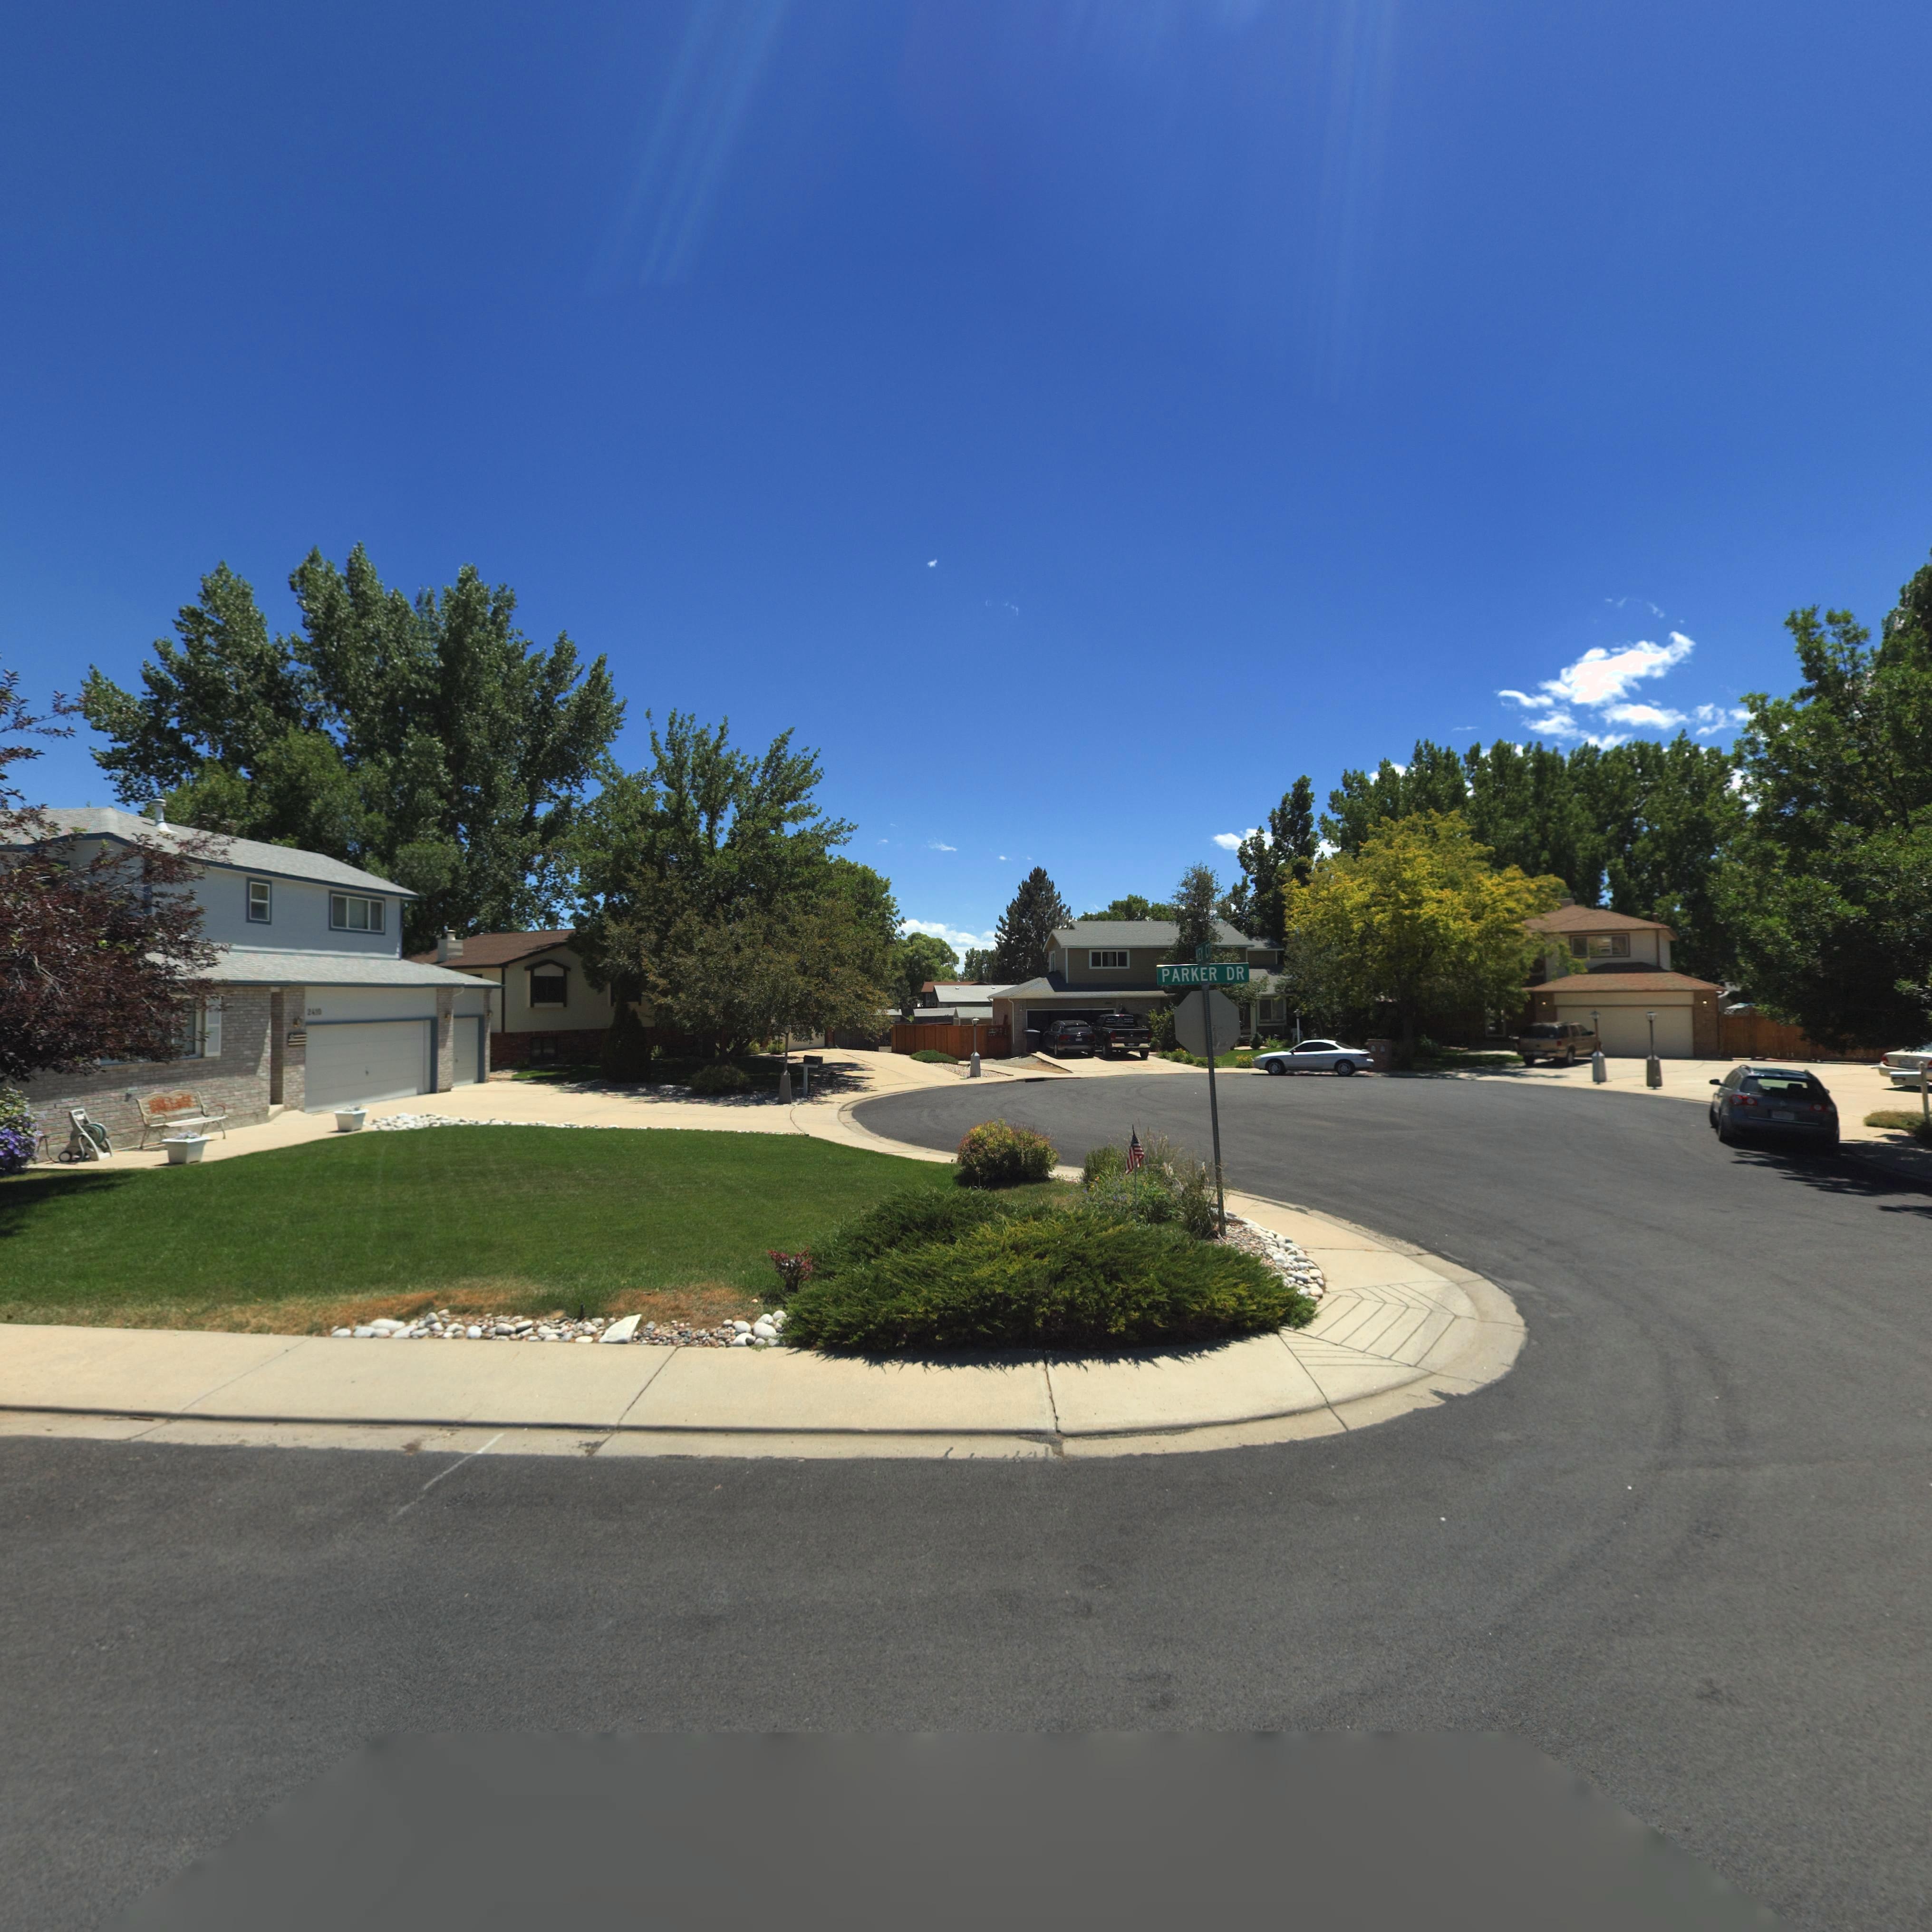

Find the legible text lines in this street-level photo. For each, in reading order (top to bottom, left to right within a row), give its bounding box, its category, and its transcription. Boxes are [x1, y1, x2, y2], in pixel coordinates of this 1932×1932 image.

[1195, 942, 1210, 963] None: *EY CT
[1161, 966, 1245, 982] StreetName: PARKER DR
[307, 1007, 322, 1016] StreetNumber: 24*0